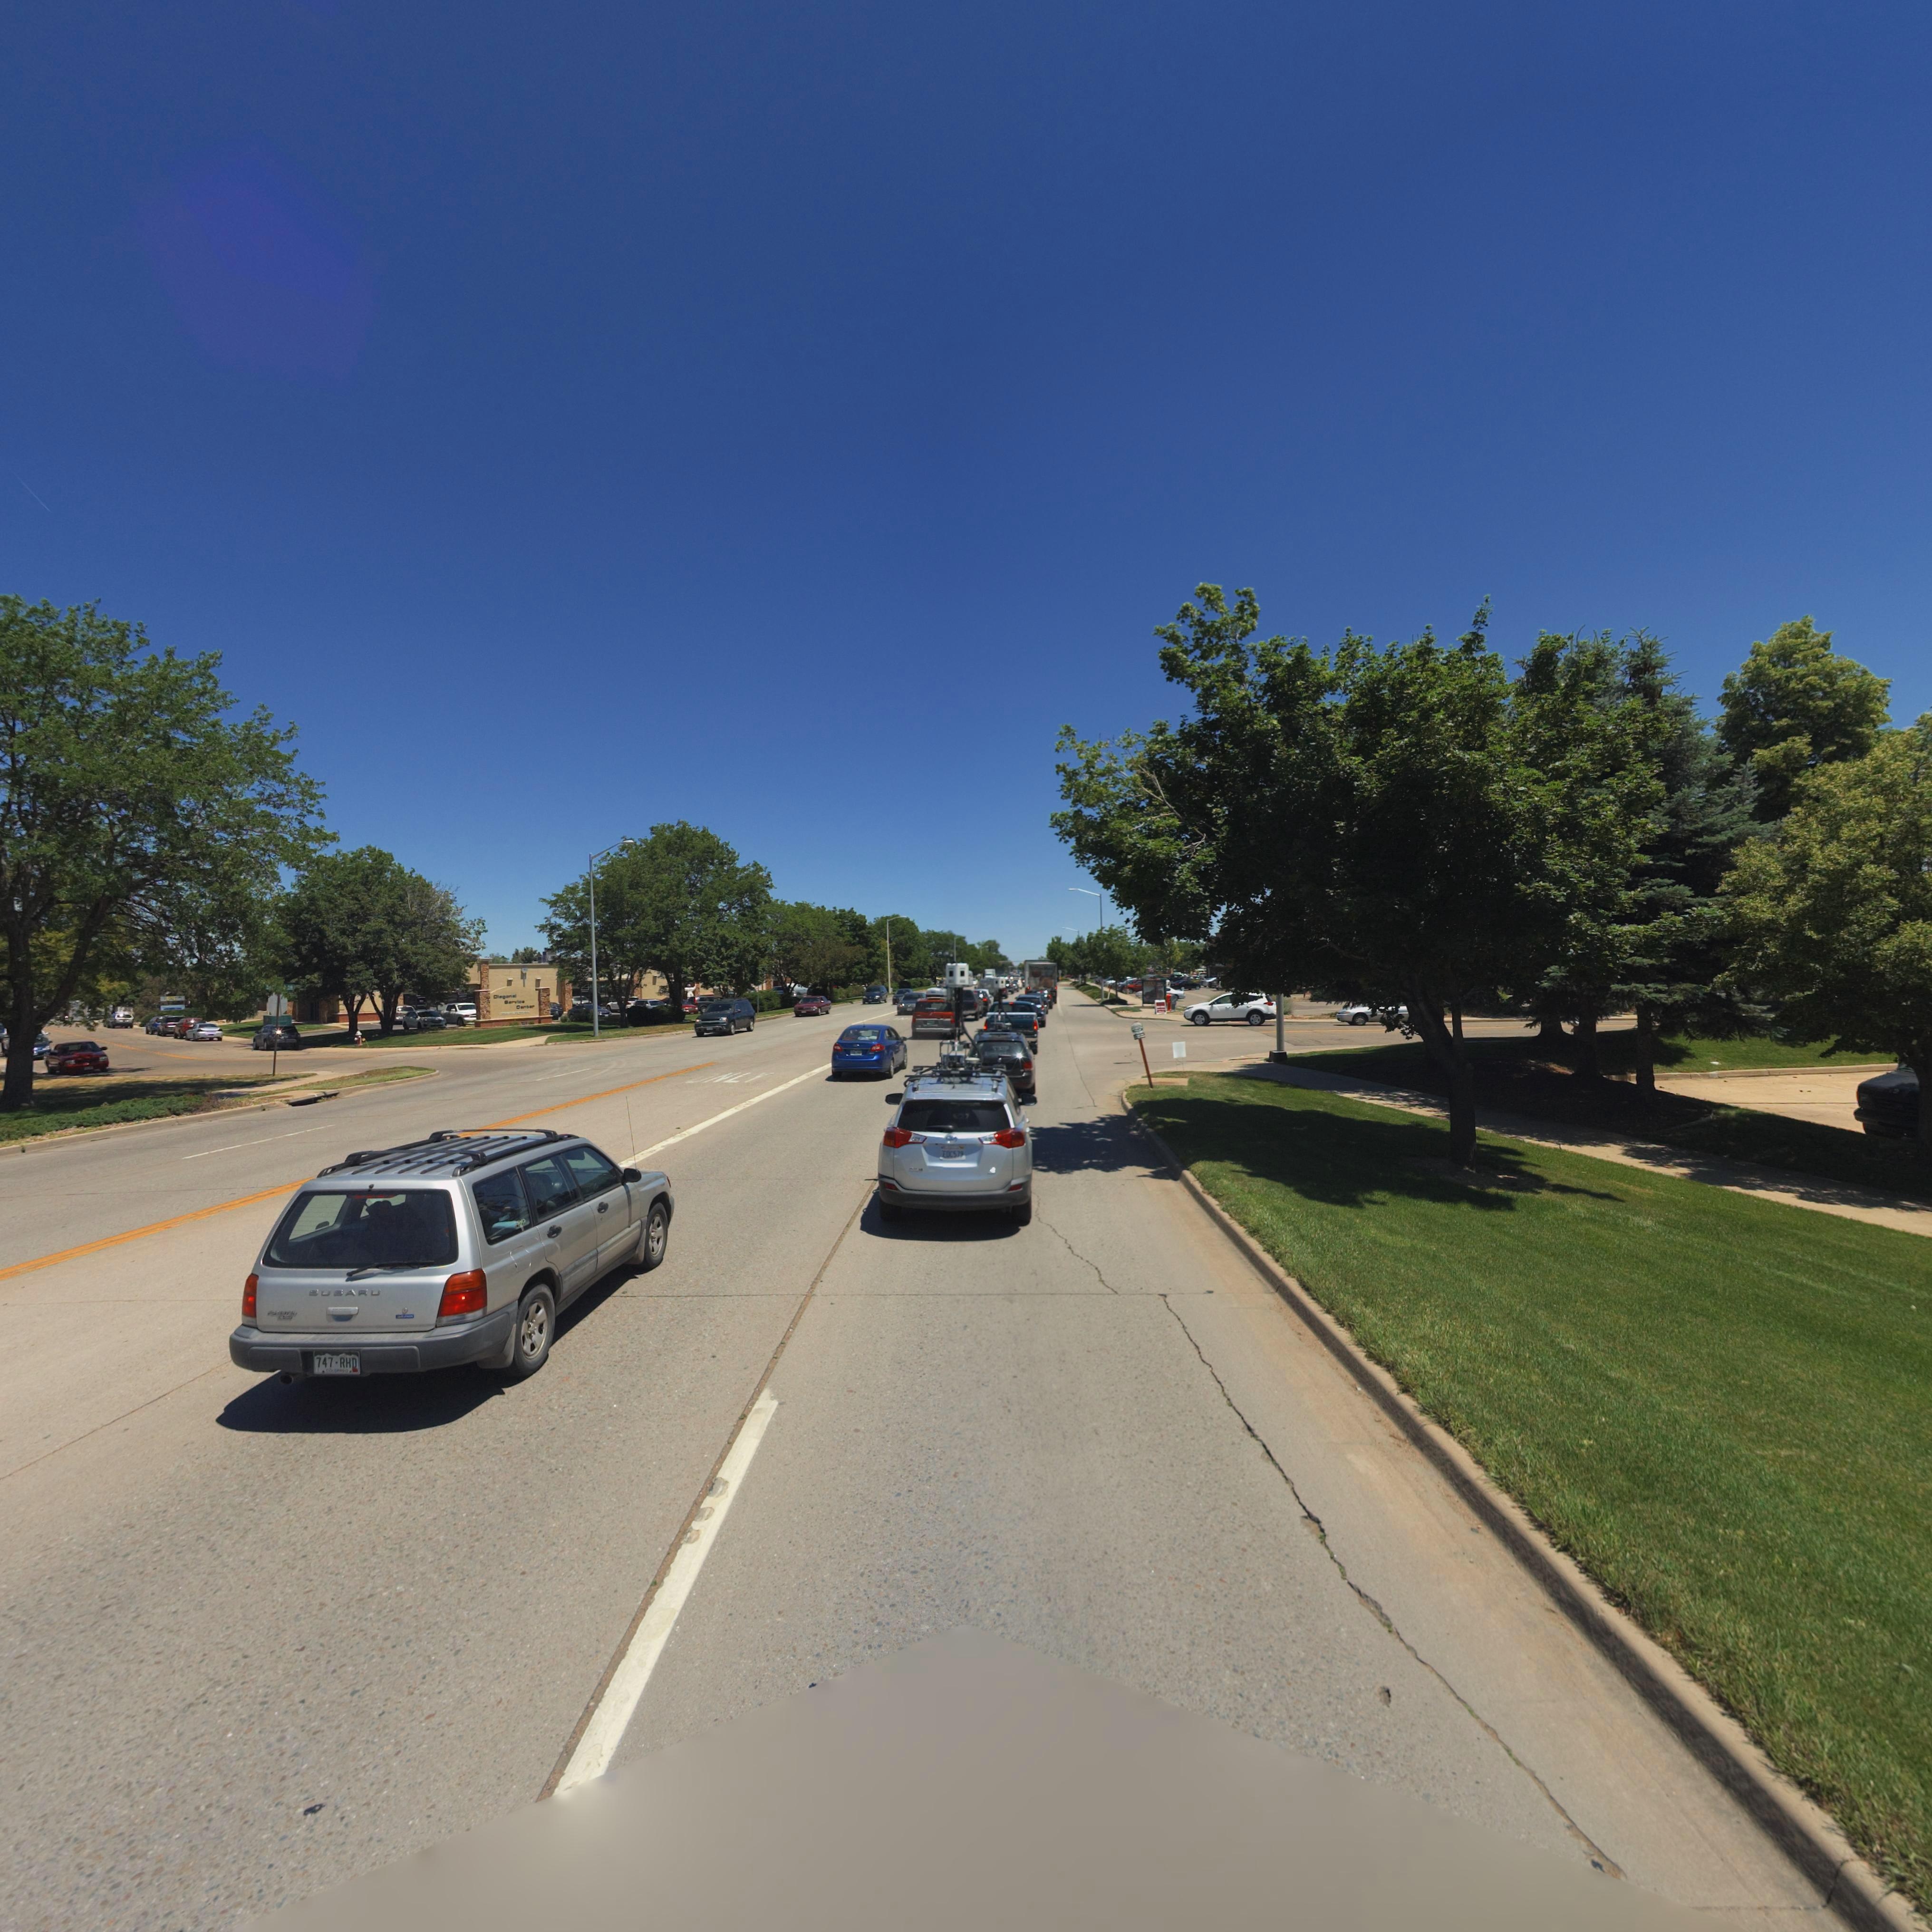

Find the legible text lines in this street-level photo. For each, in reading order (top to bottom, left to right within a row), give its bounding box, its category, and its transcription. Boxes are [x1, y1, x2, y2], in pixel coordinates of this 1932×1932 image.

[287, 985, 293, 990] StreetName: *R